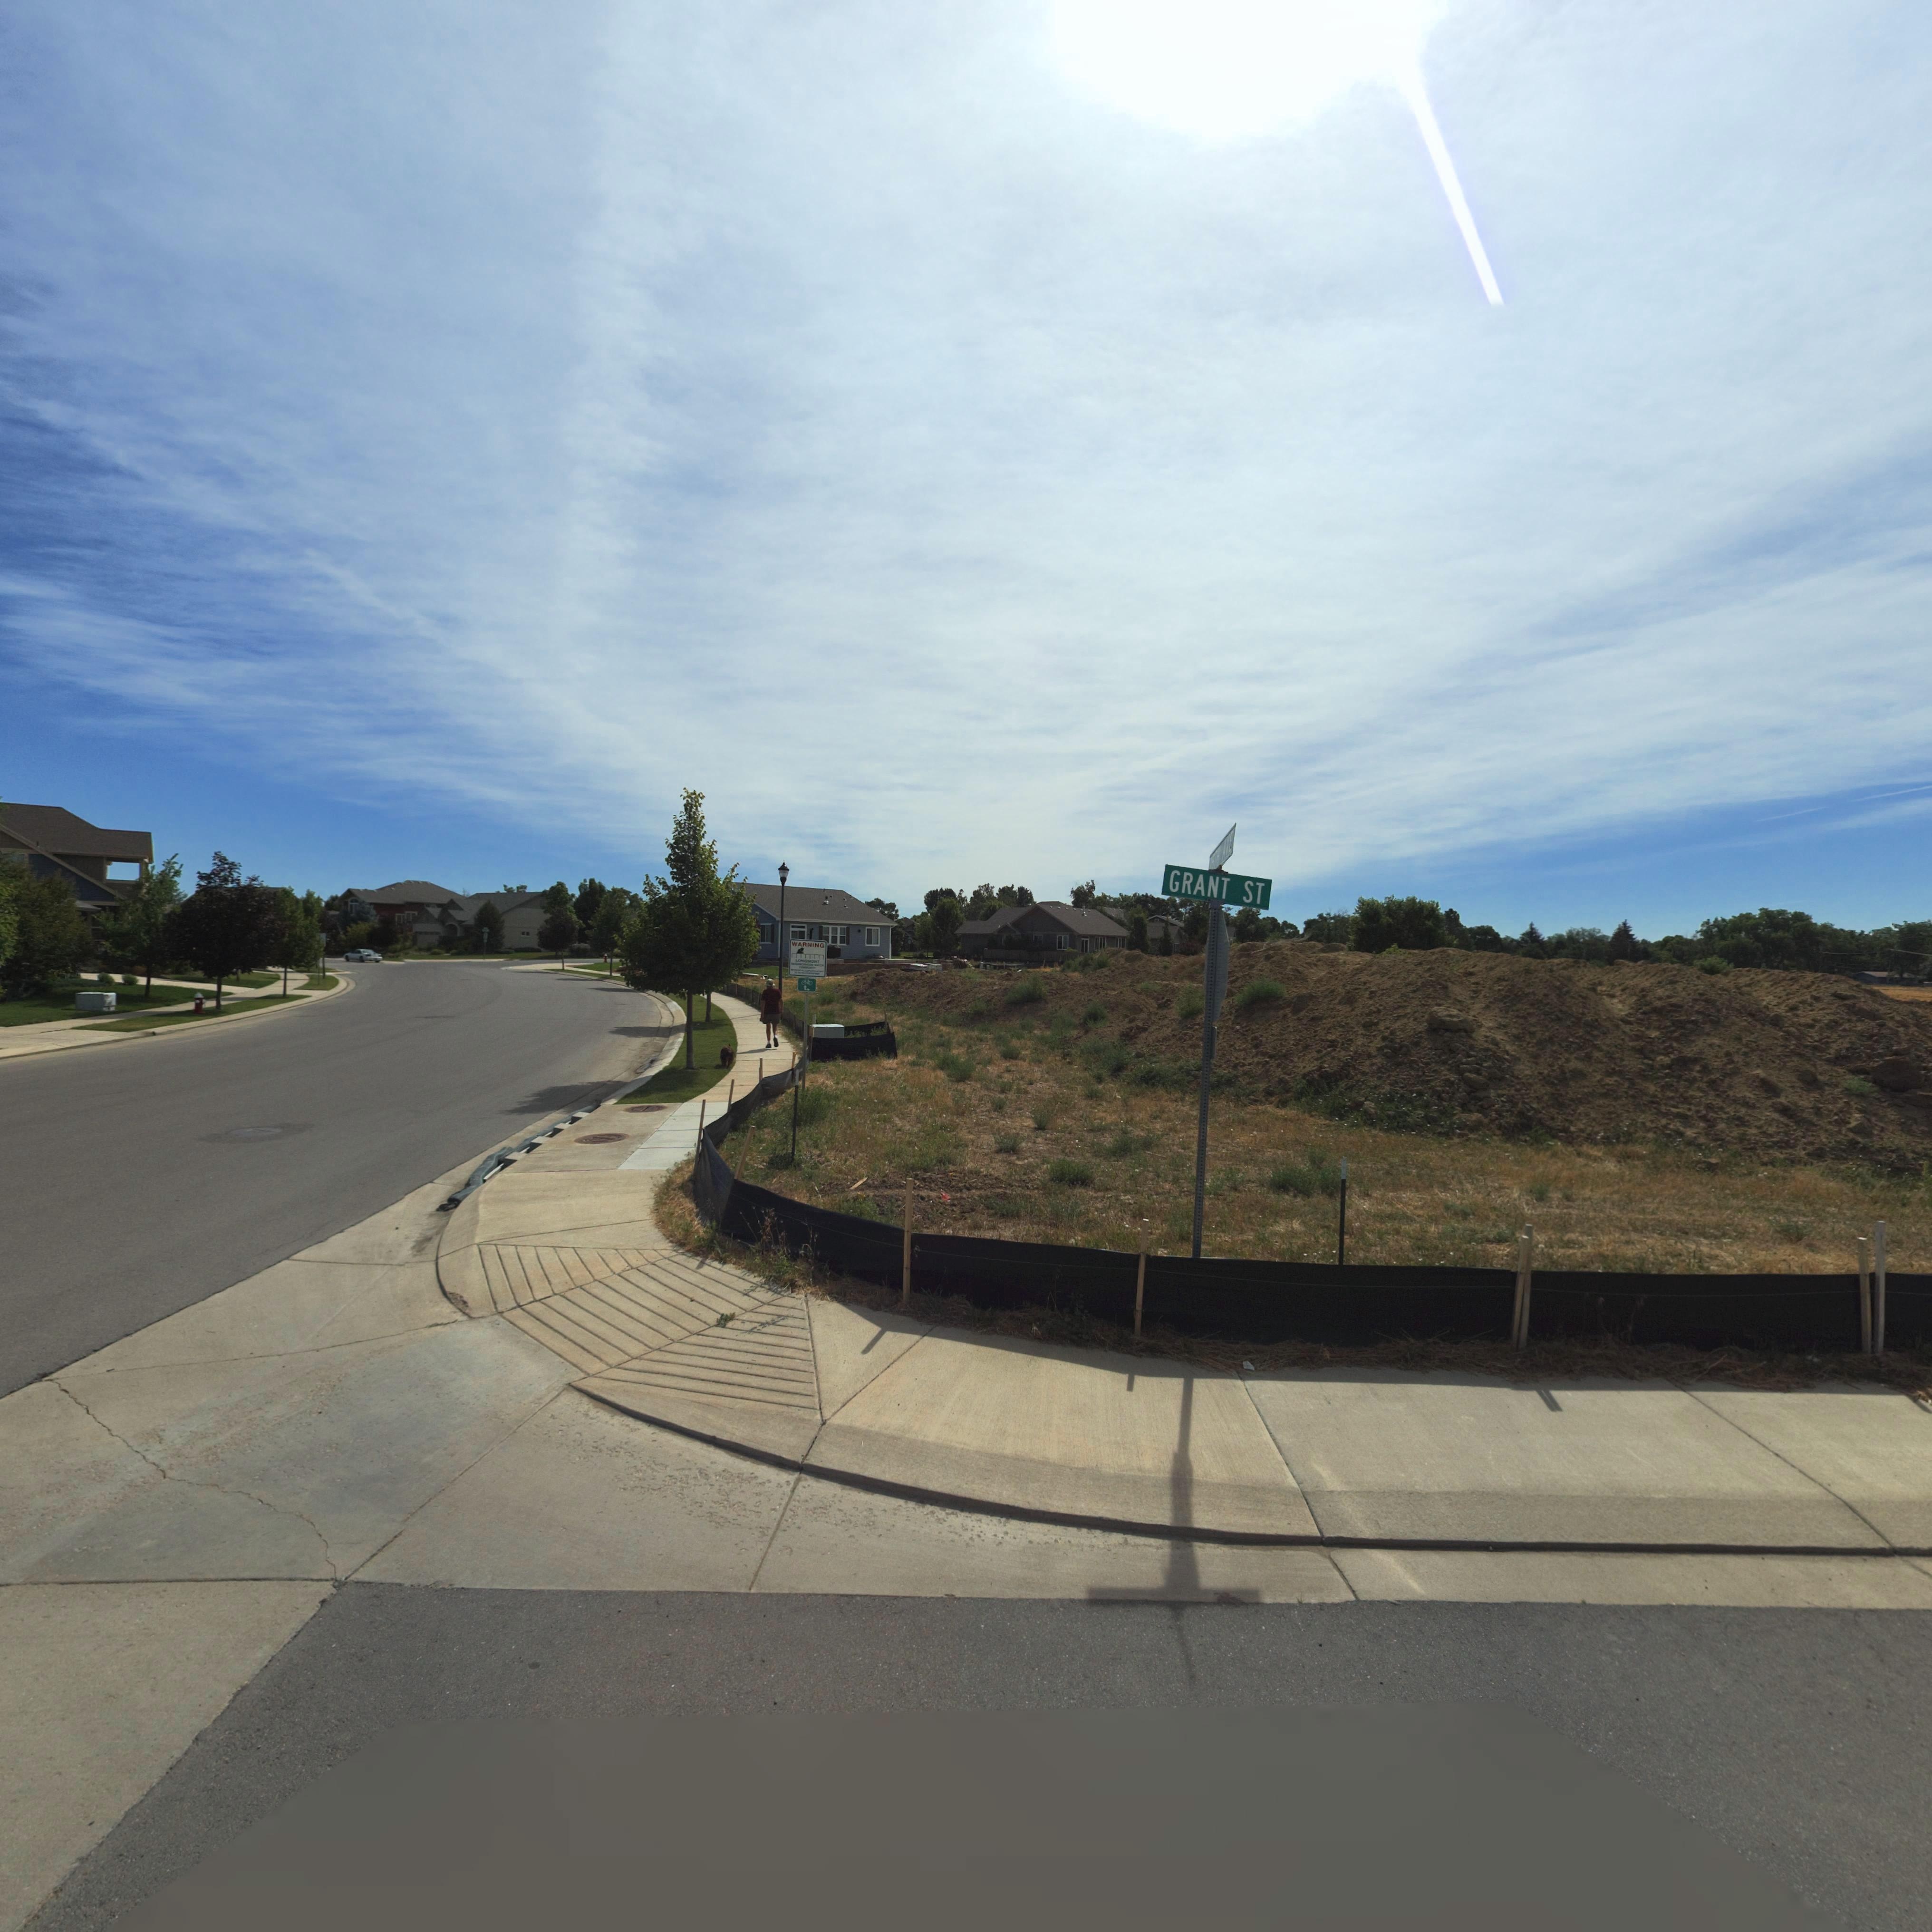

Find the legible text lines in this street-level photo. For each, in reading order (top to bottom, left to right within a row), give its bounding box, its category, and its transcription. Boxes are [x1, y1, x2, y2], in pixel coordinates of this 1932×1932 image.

[1169, 869, 1265, 904] StreetName: GRANT ST